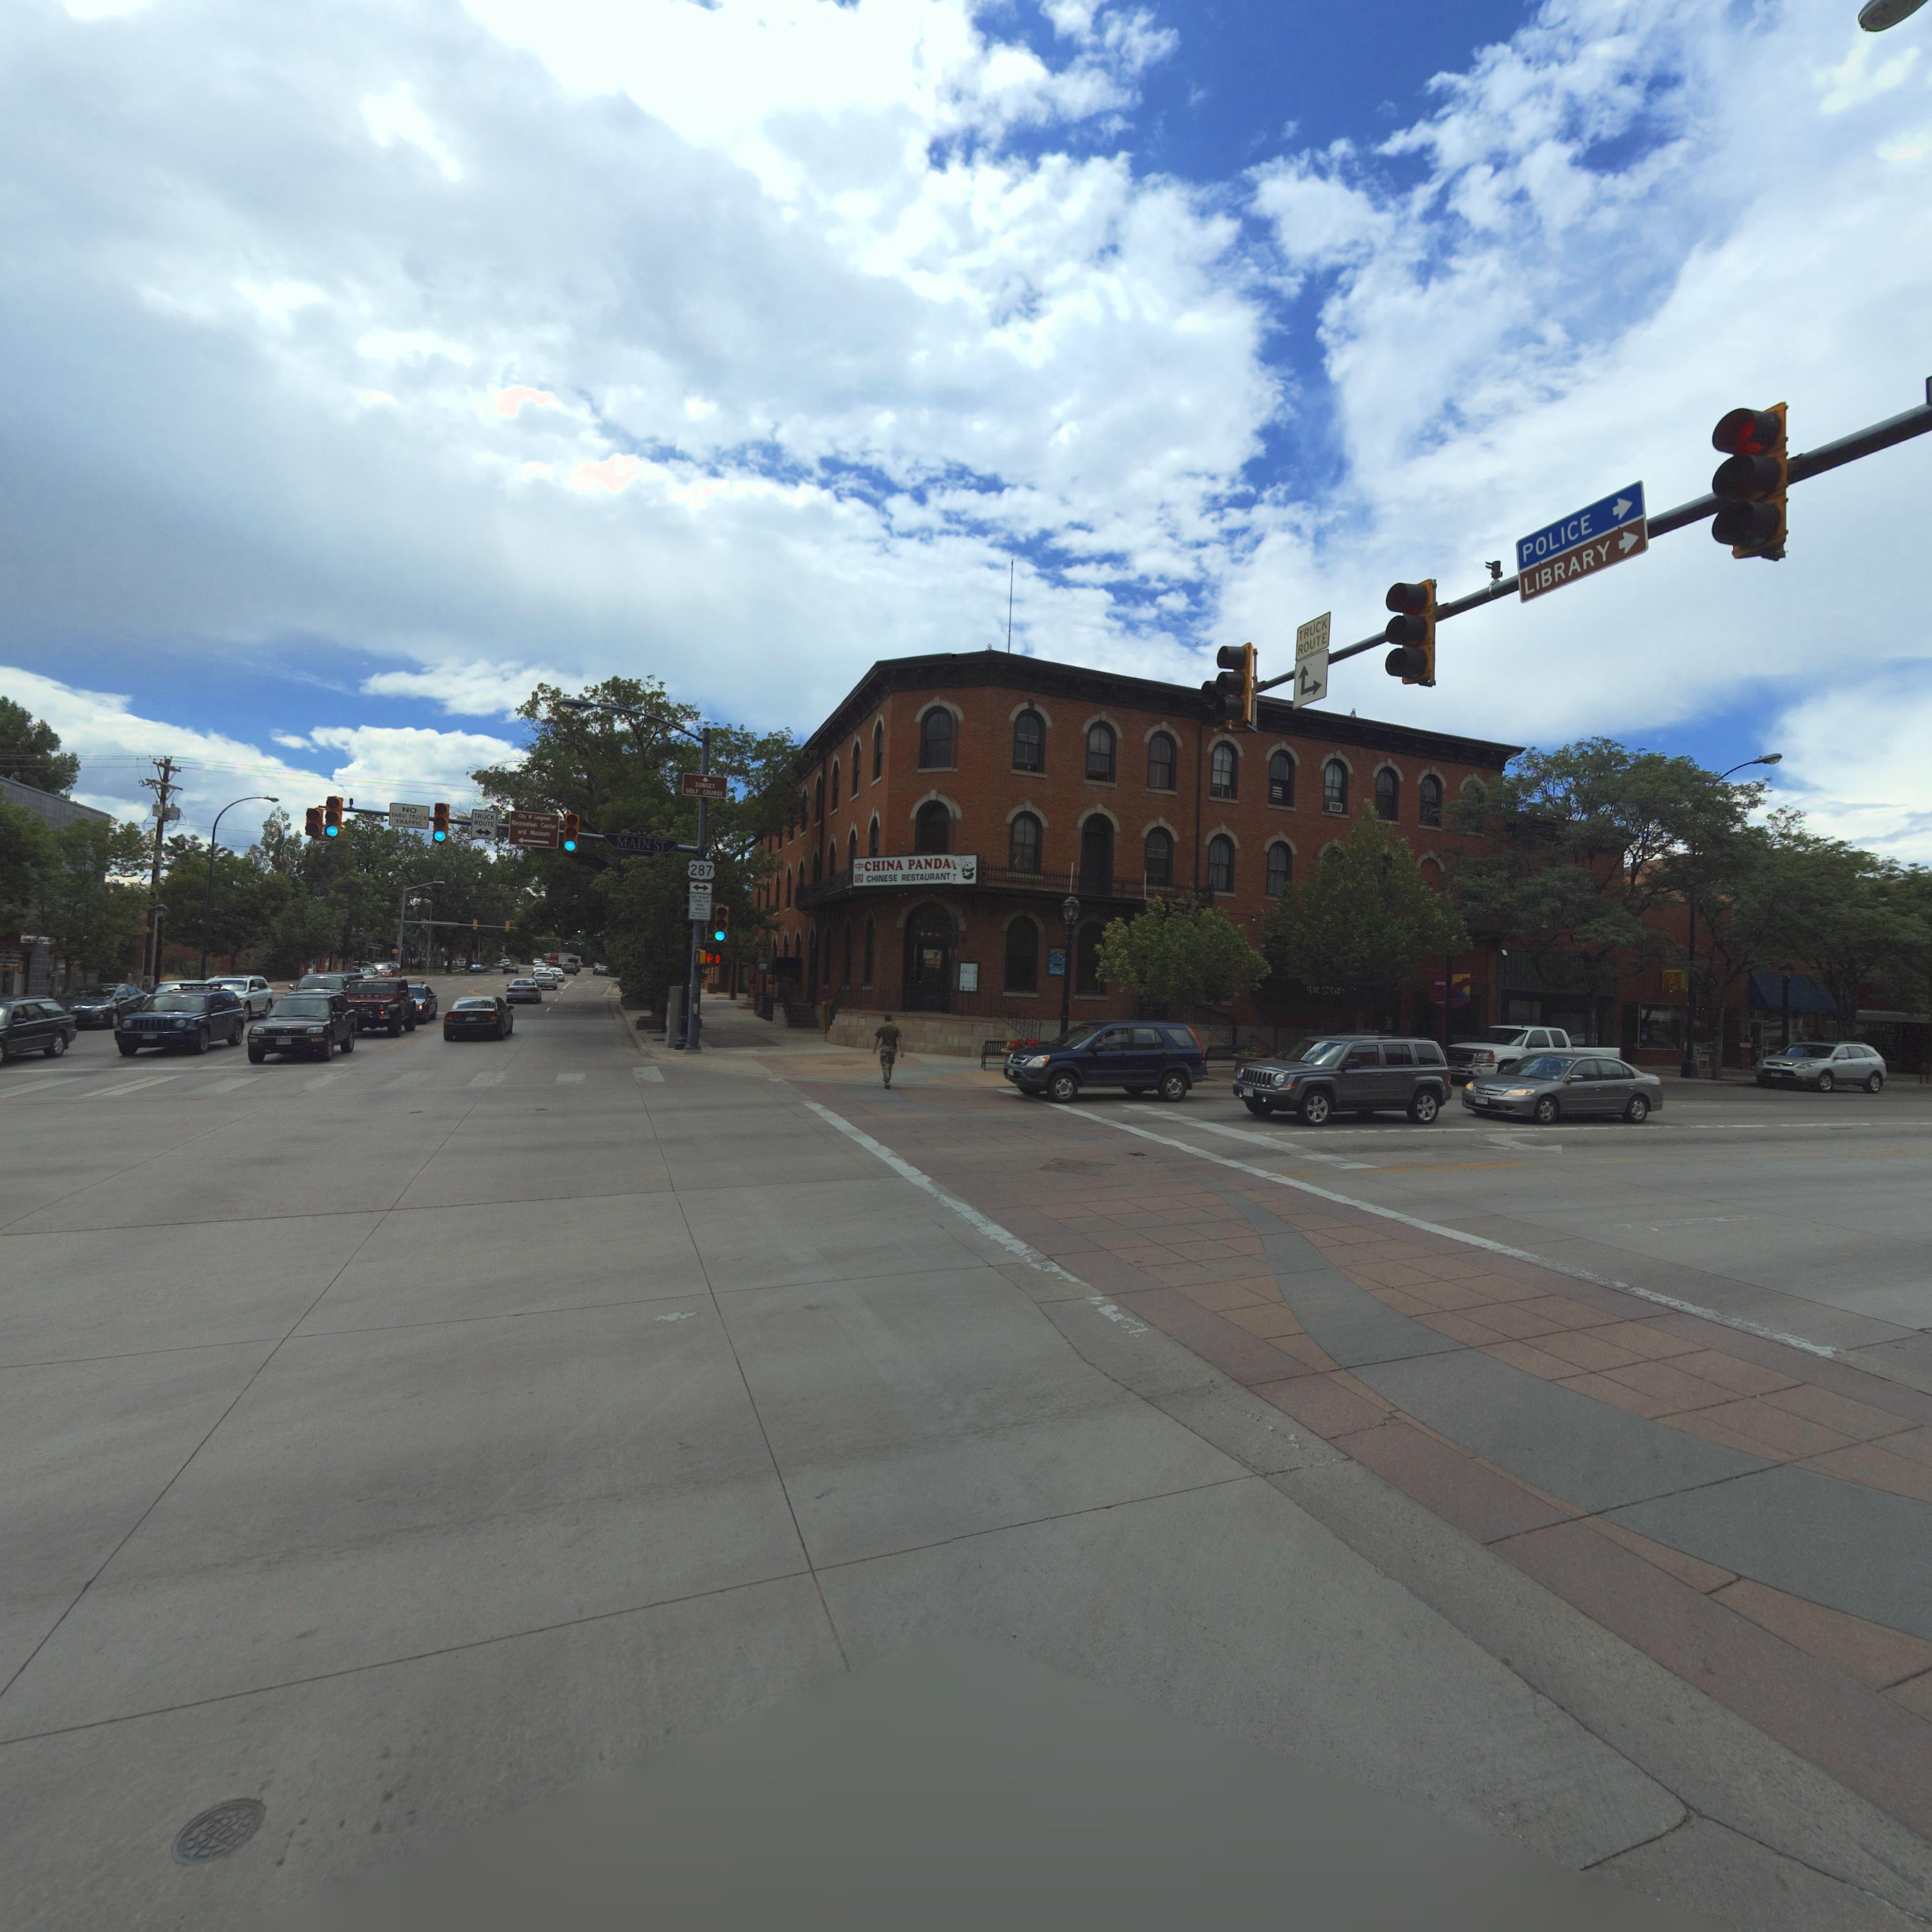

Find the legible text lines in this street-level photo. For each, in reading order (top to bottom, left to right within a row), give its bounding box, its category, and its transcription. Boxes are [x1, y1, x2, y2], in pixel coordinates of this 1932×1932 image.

[616, 836, 667, 851] StreetName: MAIN ST
[863, 857, 957, 872] BusinessName: CHINA PANDA*
[1305, 985, 1358, 995] BusinessName: THE S*****